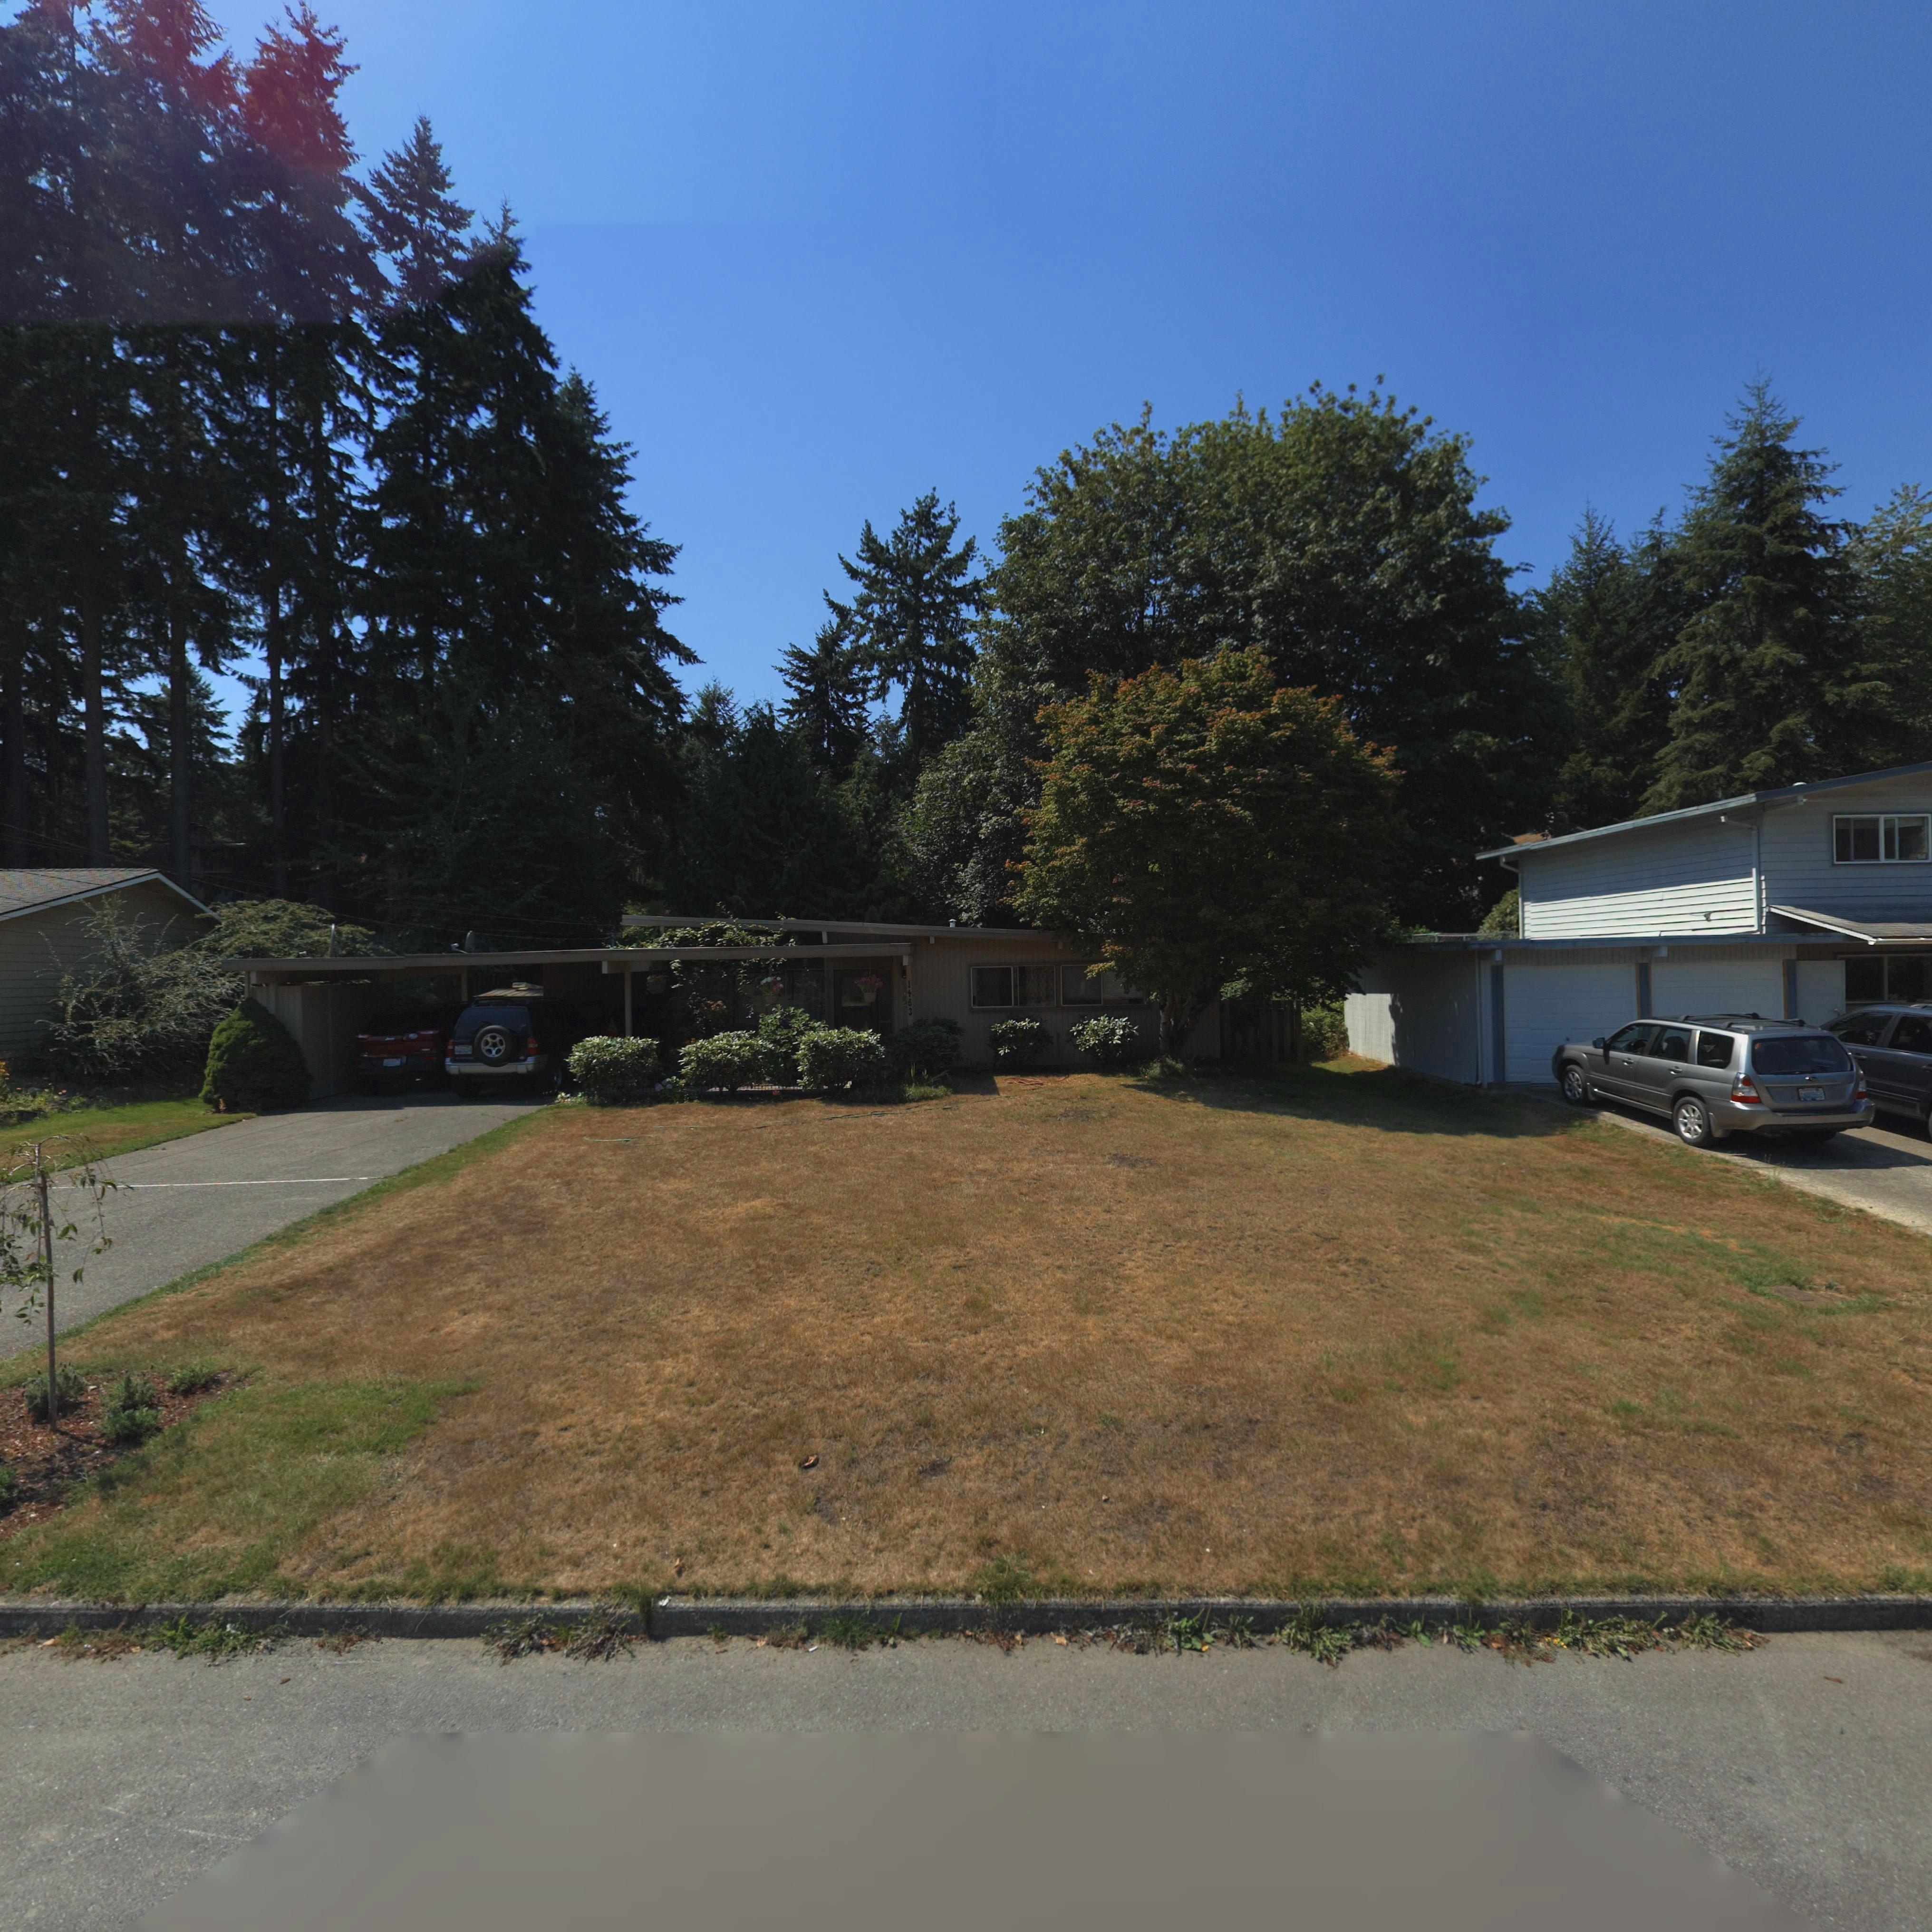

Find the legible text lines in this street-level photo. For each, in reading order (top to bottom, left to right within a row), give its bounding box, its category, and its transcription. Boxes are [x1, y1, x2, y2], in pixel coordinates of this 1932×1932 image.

[906, 979, 912, 1015] StreetNumber: 1463